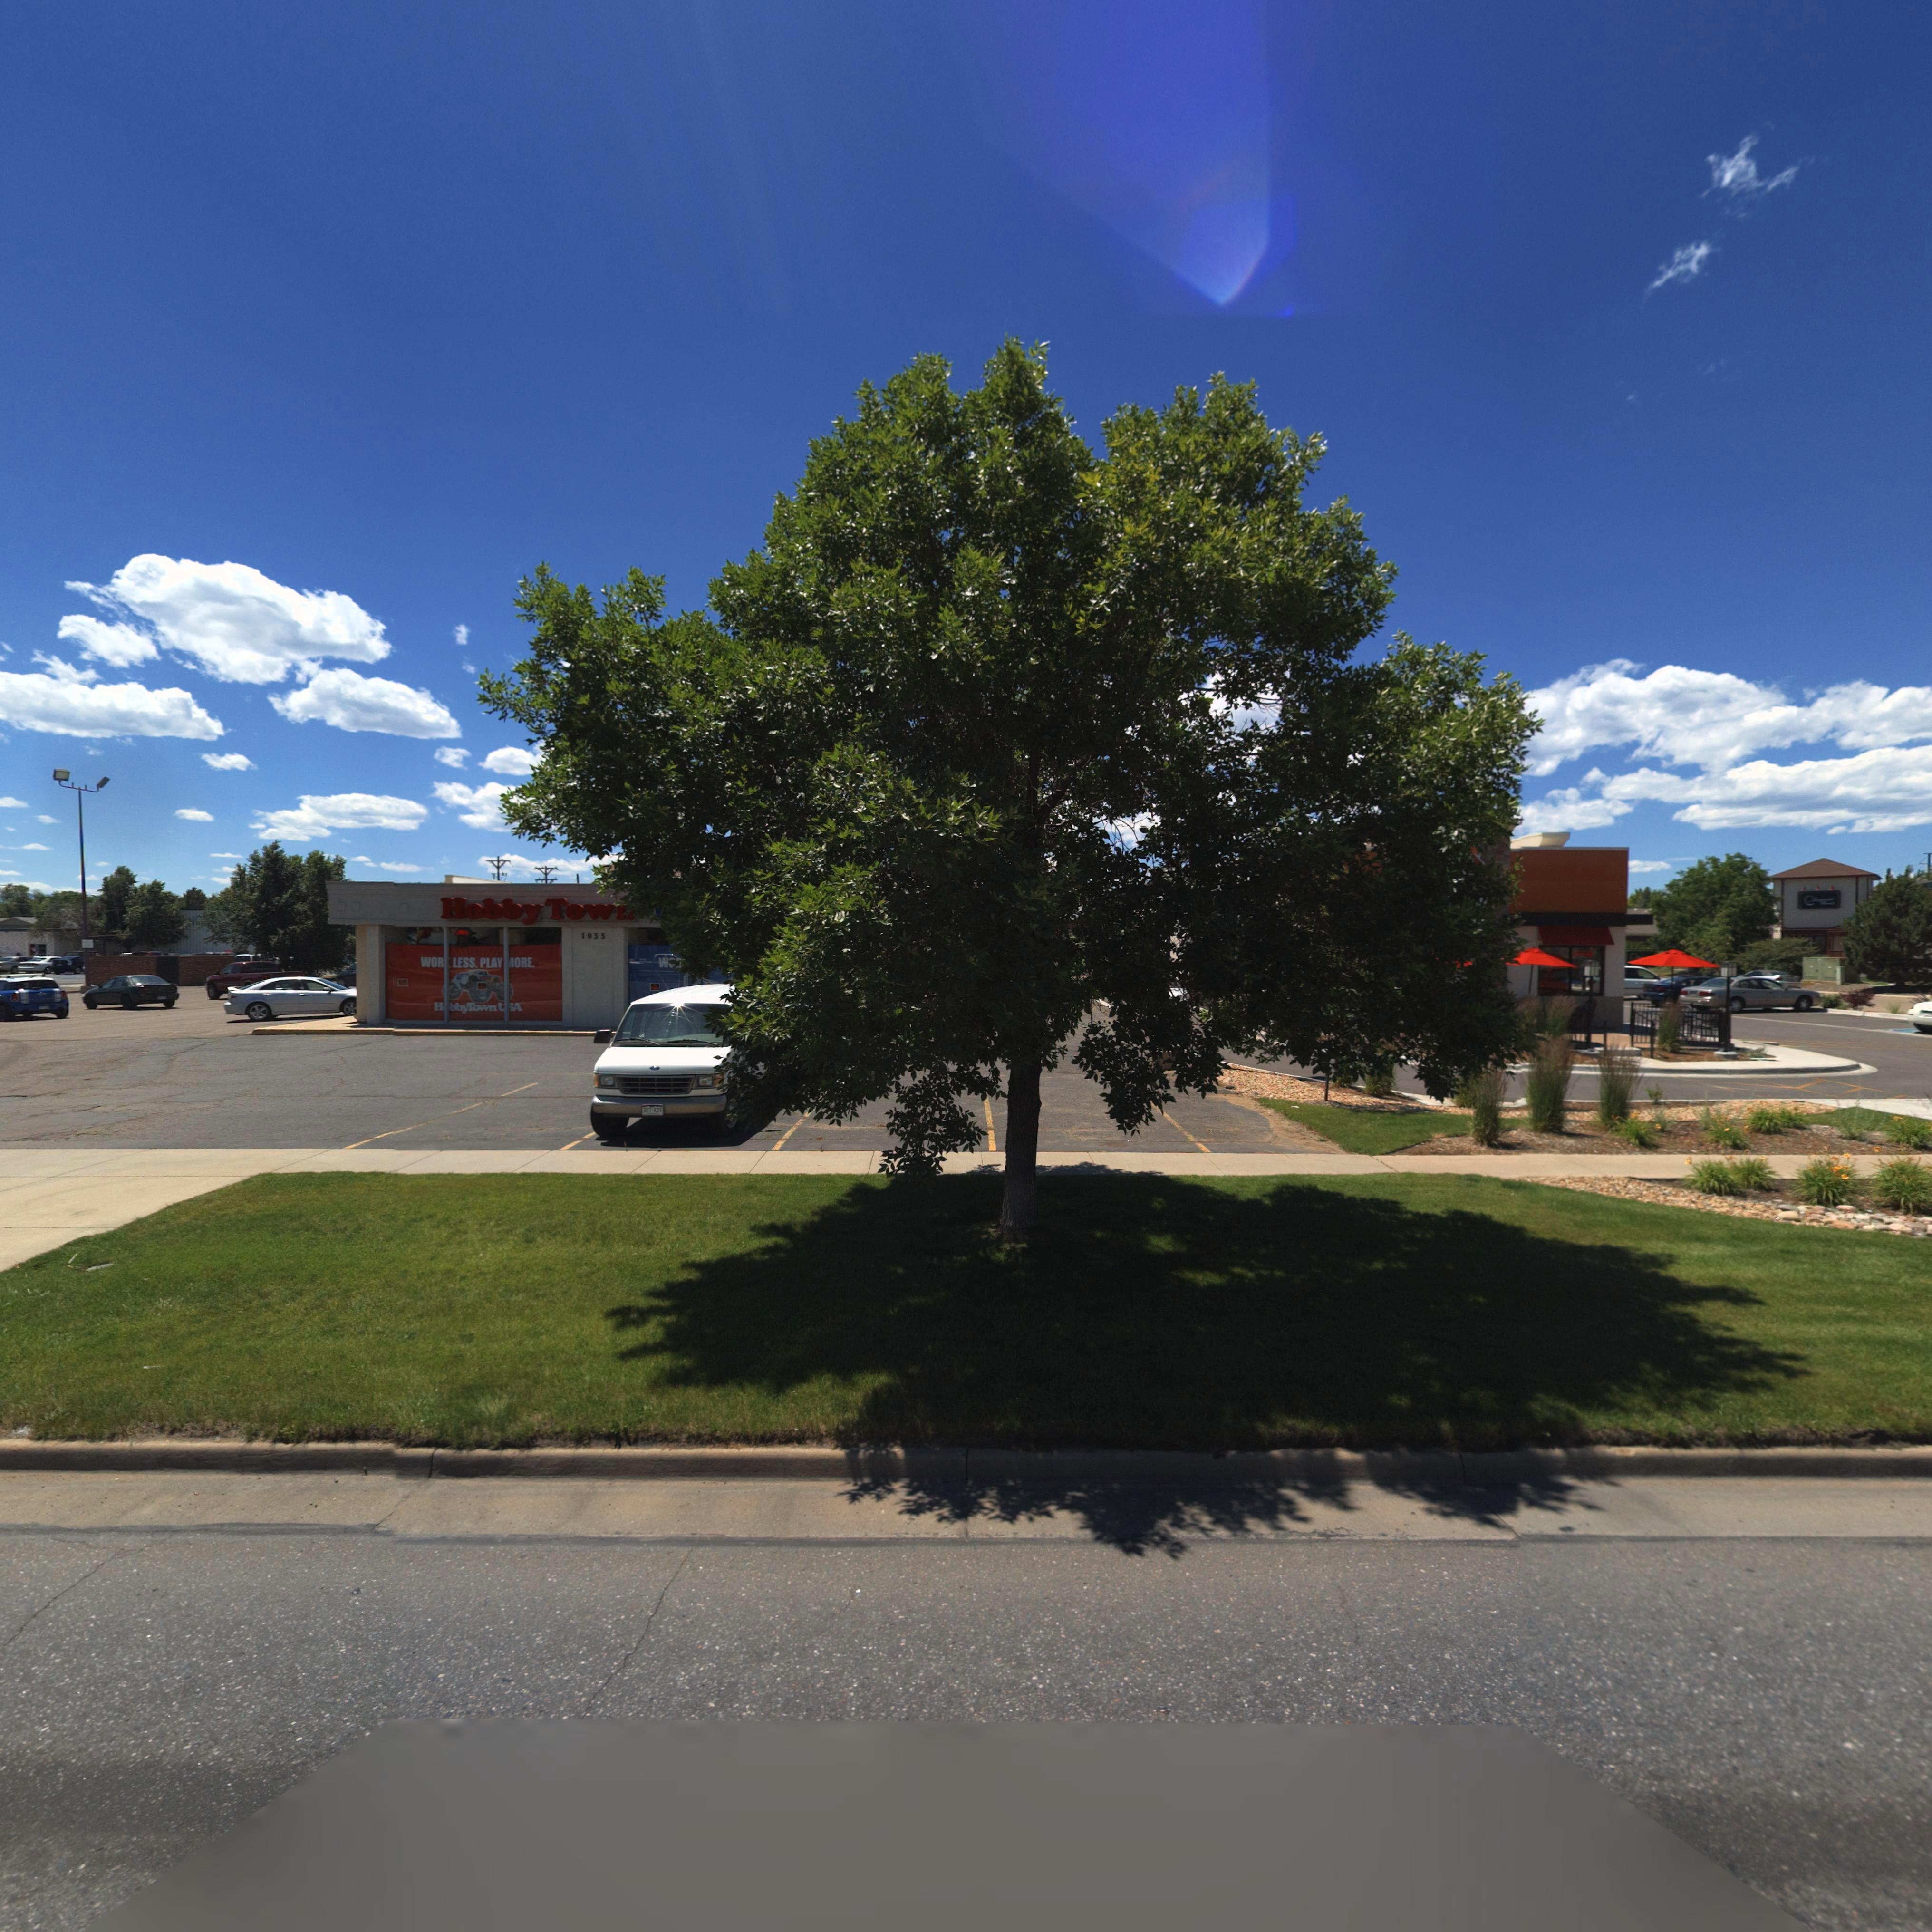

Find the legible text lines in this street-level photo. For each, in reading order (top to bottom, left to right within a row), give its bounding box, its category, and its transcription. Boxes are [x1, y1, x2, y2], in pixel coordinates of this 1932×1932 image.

[1803, 894, 1835, 906] BusinessName: C******
[439, 895, 637, 927] BusinessName: Hobby Town
[181, 913, 203, 930] BusinessName: *N*
[581, 932, 605, 940] StreetNumber: 1935
[1628, 952, 1642, 961] BusinessName: C*
[433, 1001, 523, 1014] BusinessName: H*byTown U*A